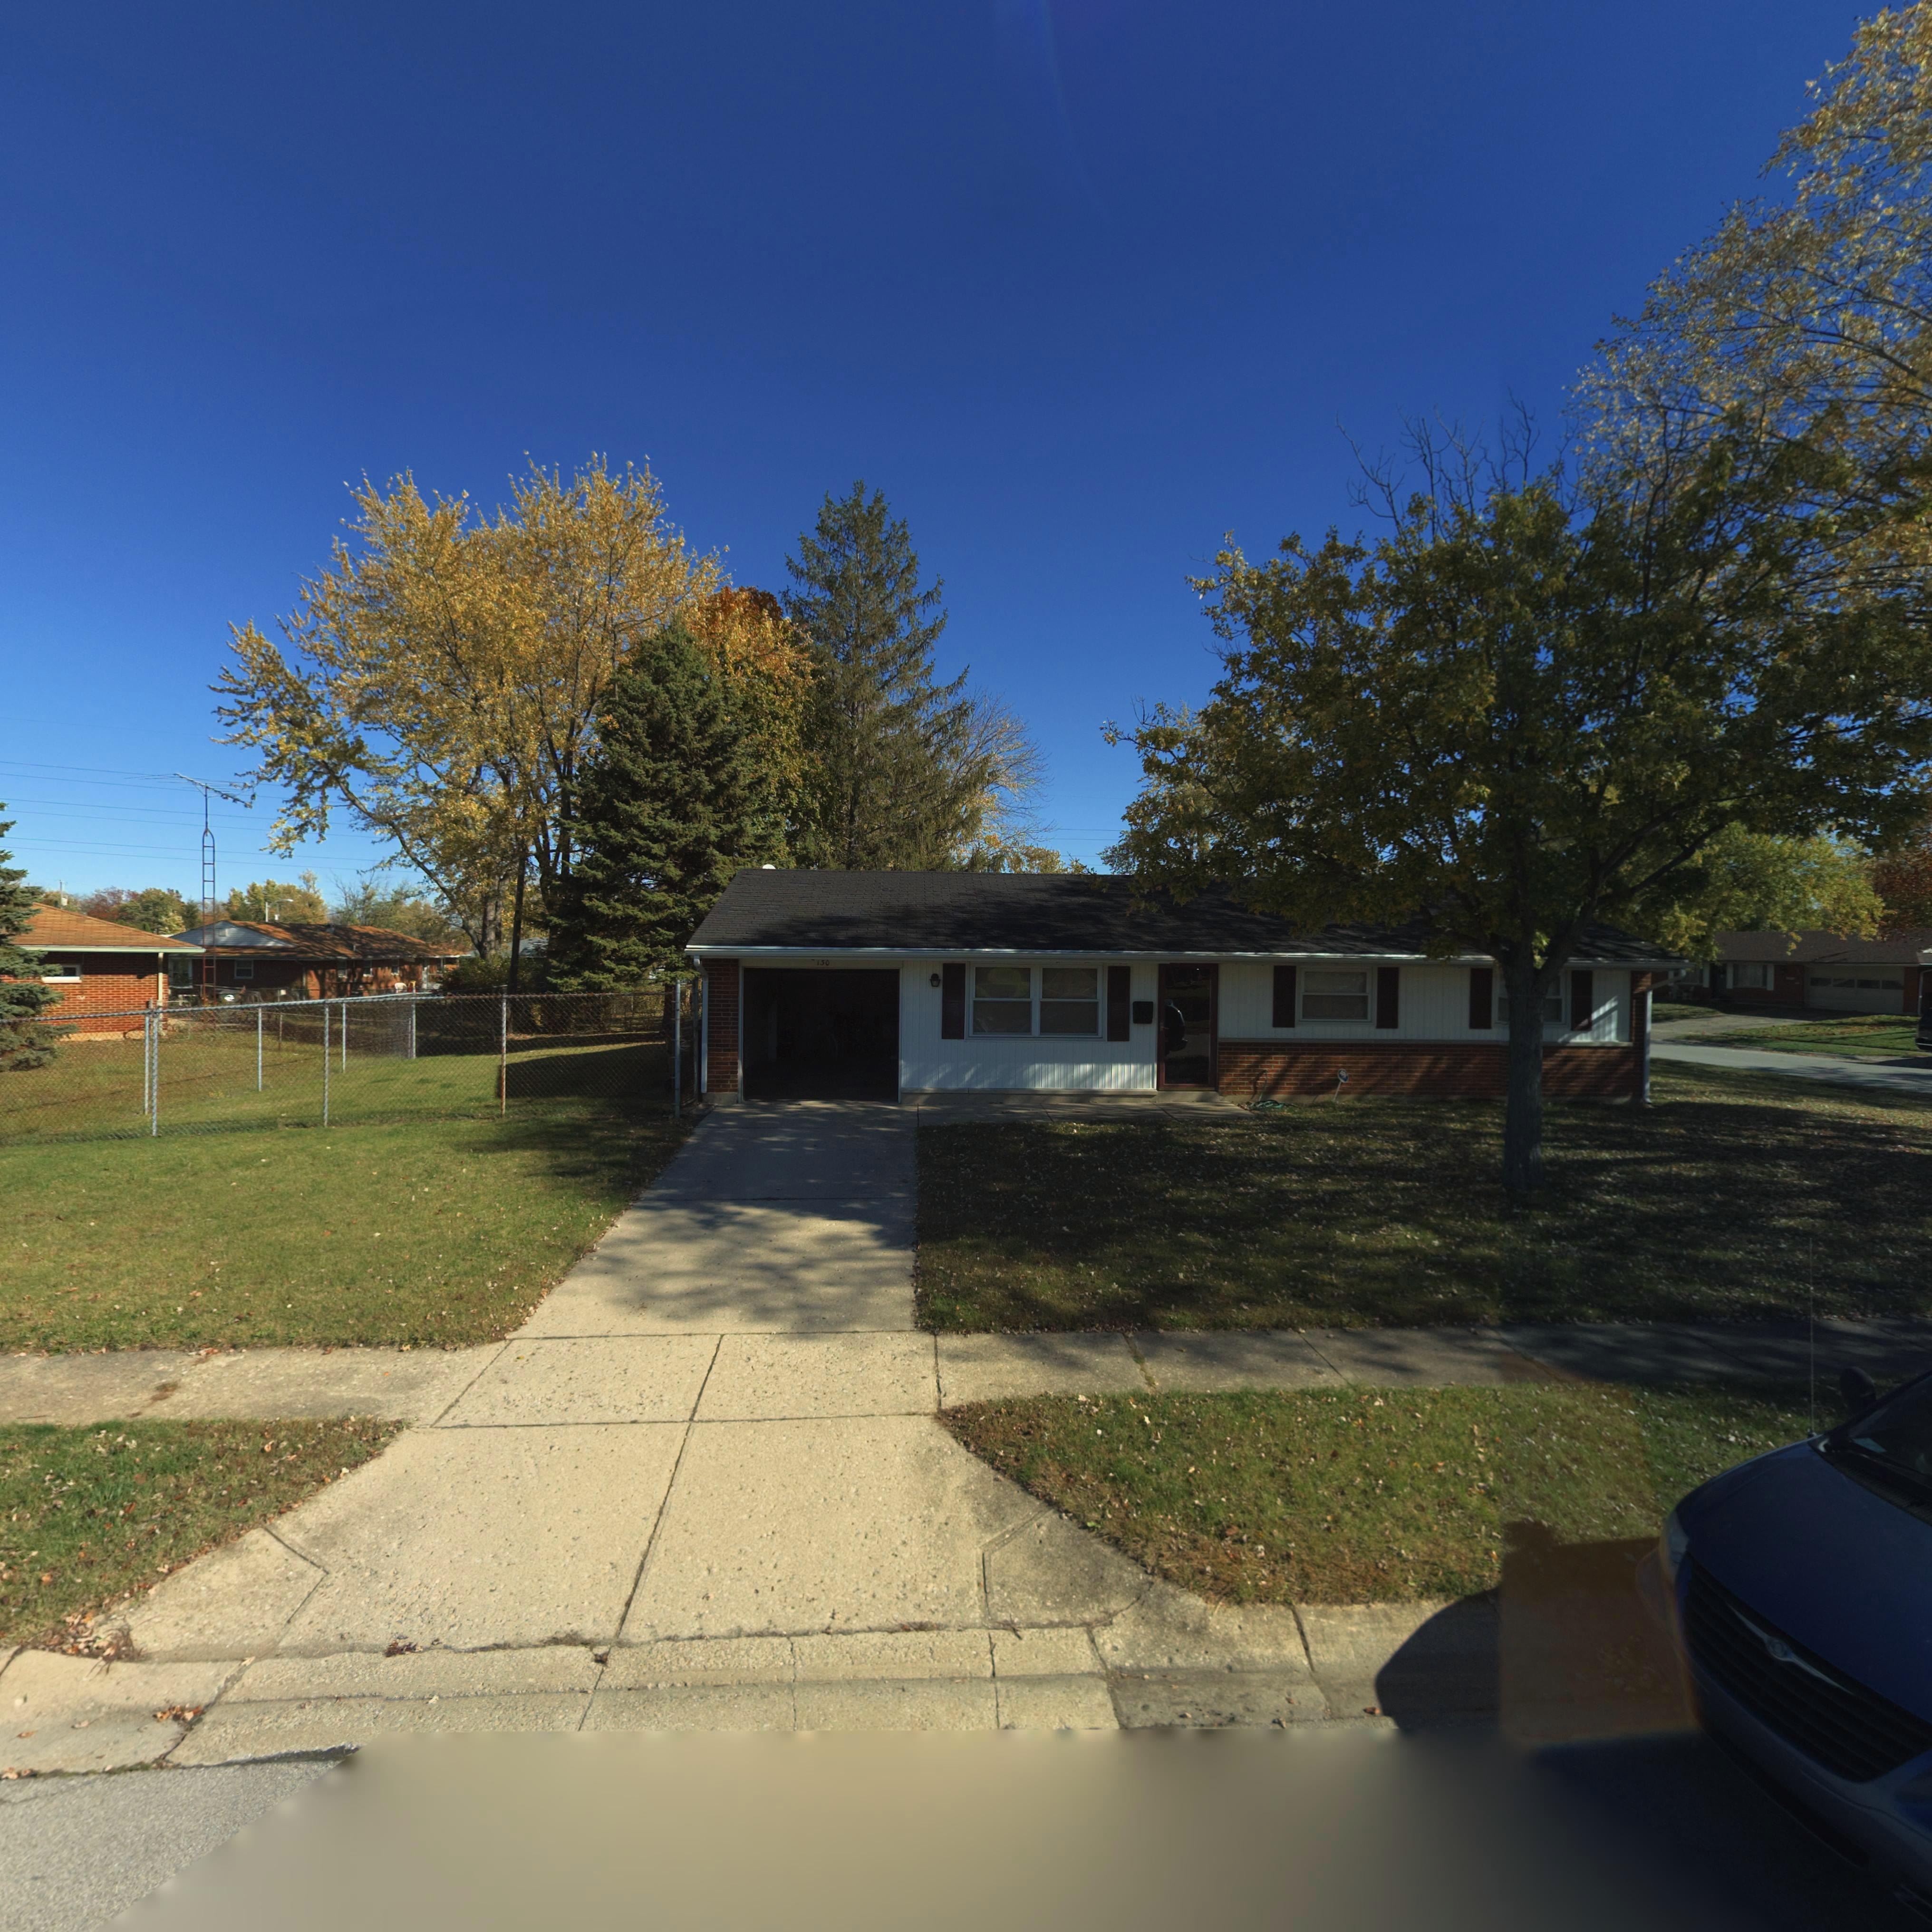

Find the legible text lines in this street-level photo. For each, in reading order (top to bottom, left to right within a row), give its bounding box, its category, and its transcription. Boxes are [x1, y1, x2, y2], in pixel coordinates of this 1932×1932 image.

[817, 959, 831, 966] StreetNumber: 130